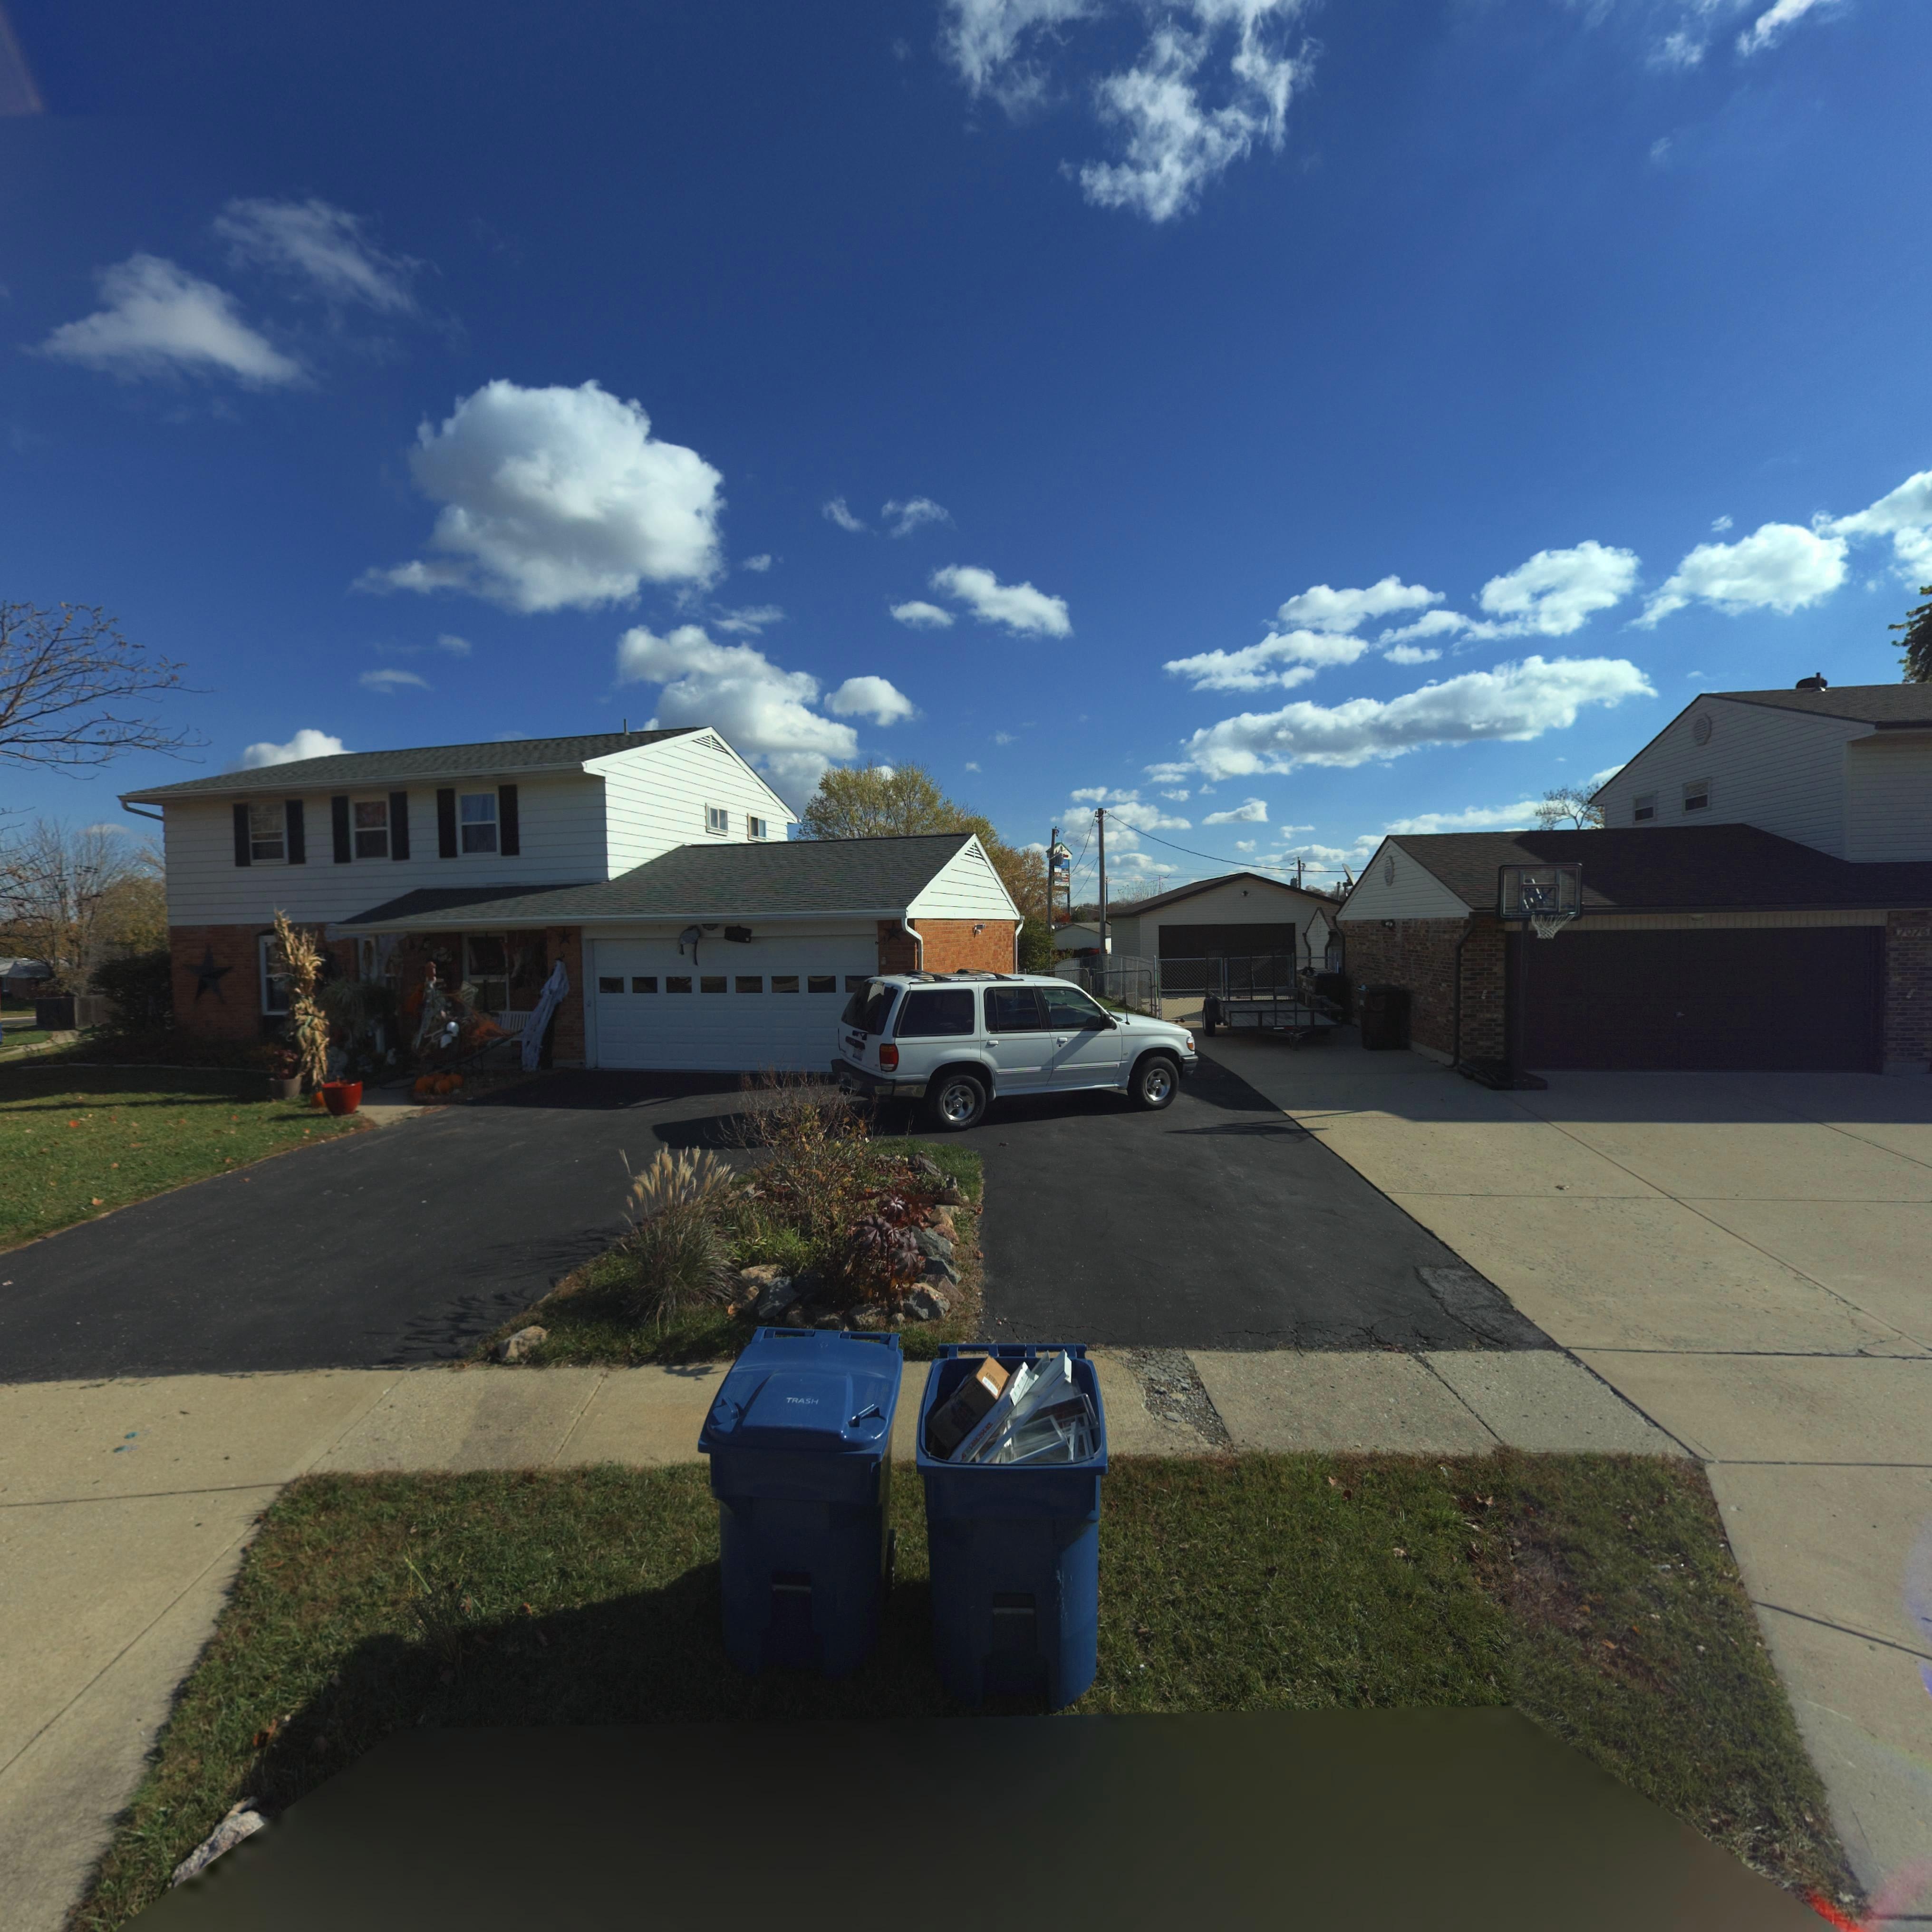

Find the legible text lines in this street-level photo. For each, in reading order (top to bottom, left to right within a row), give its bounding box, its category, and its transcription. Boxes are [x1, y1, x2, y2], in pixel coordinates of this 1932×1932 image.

[1895, 927, 1930, 938] StreetNumber: 7076